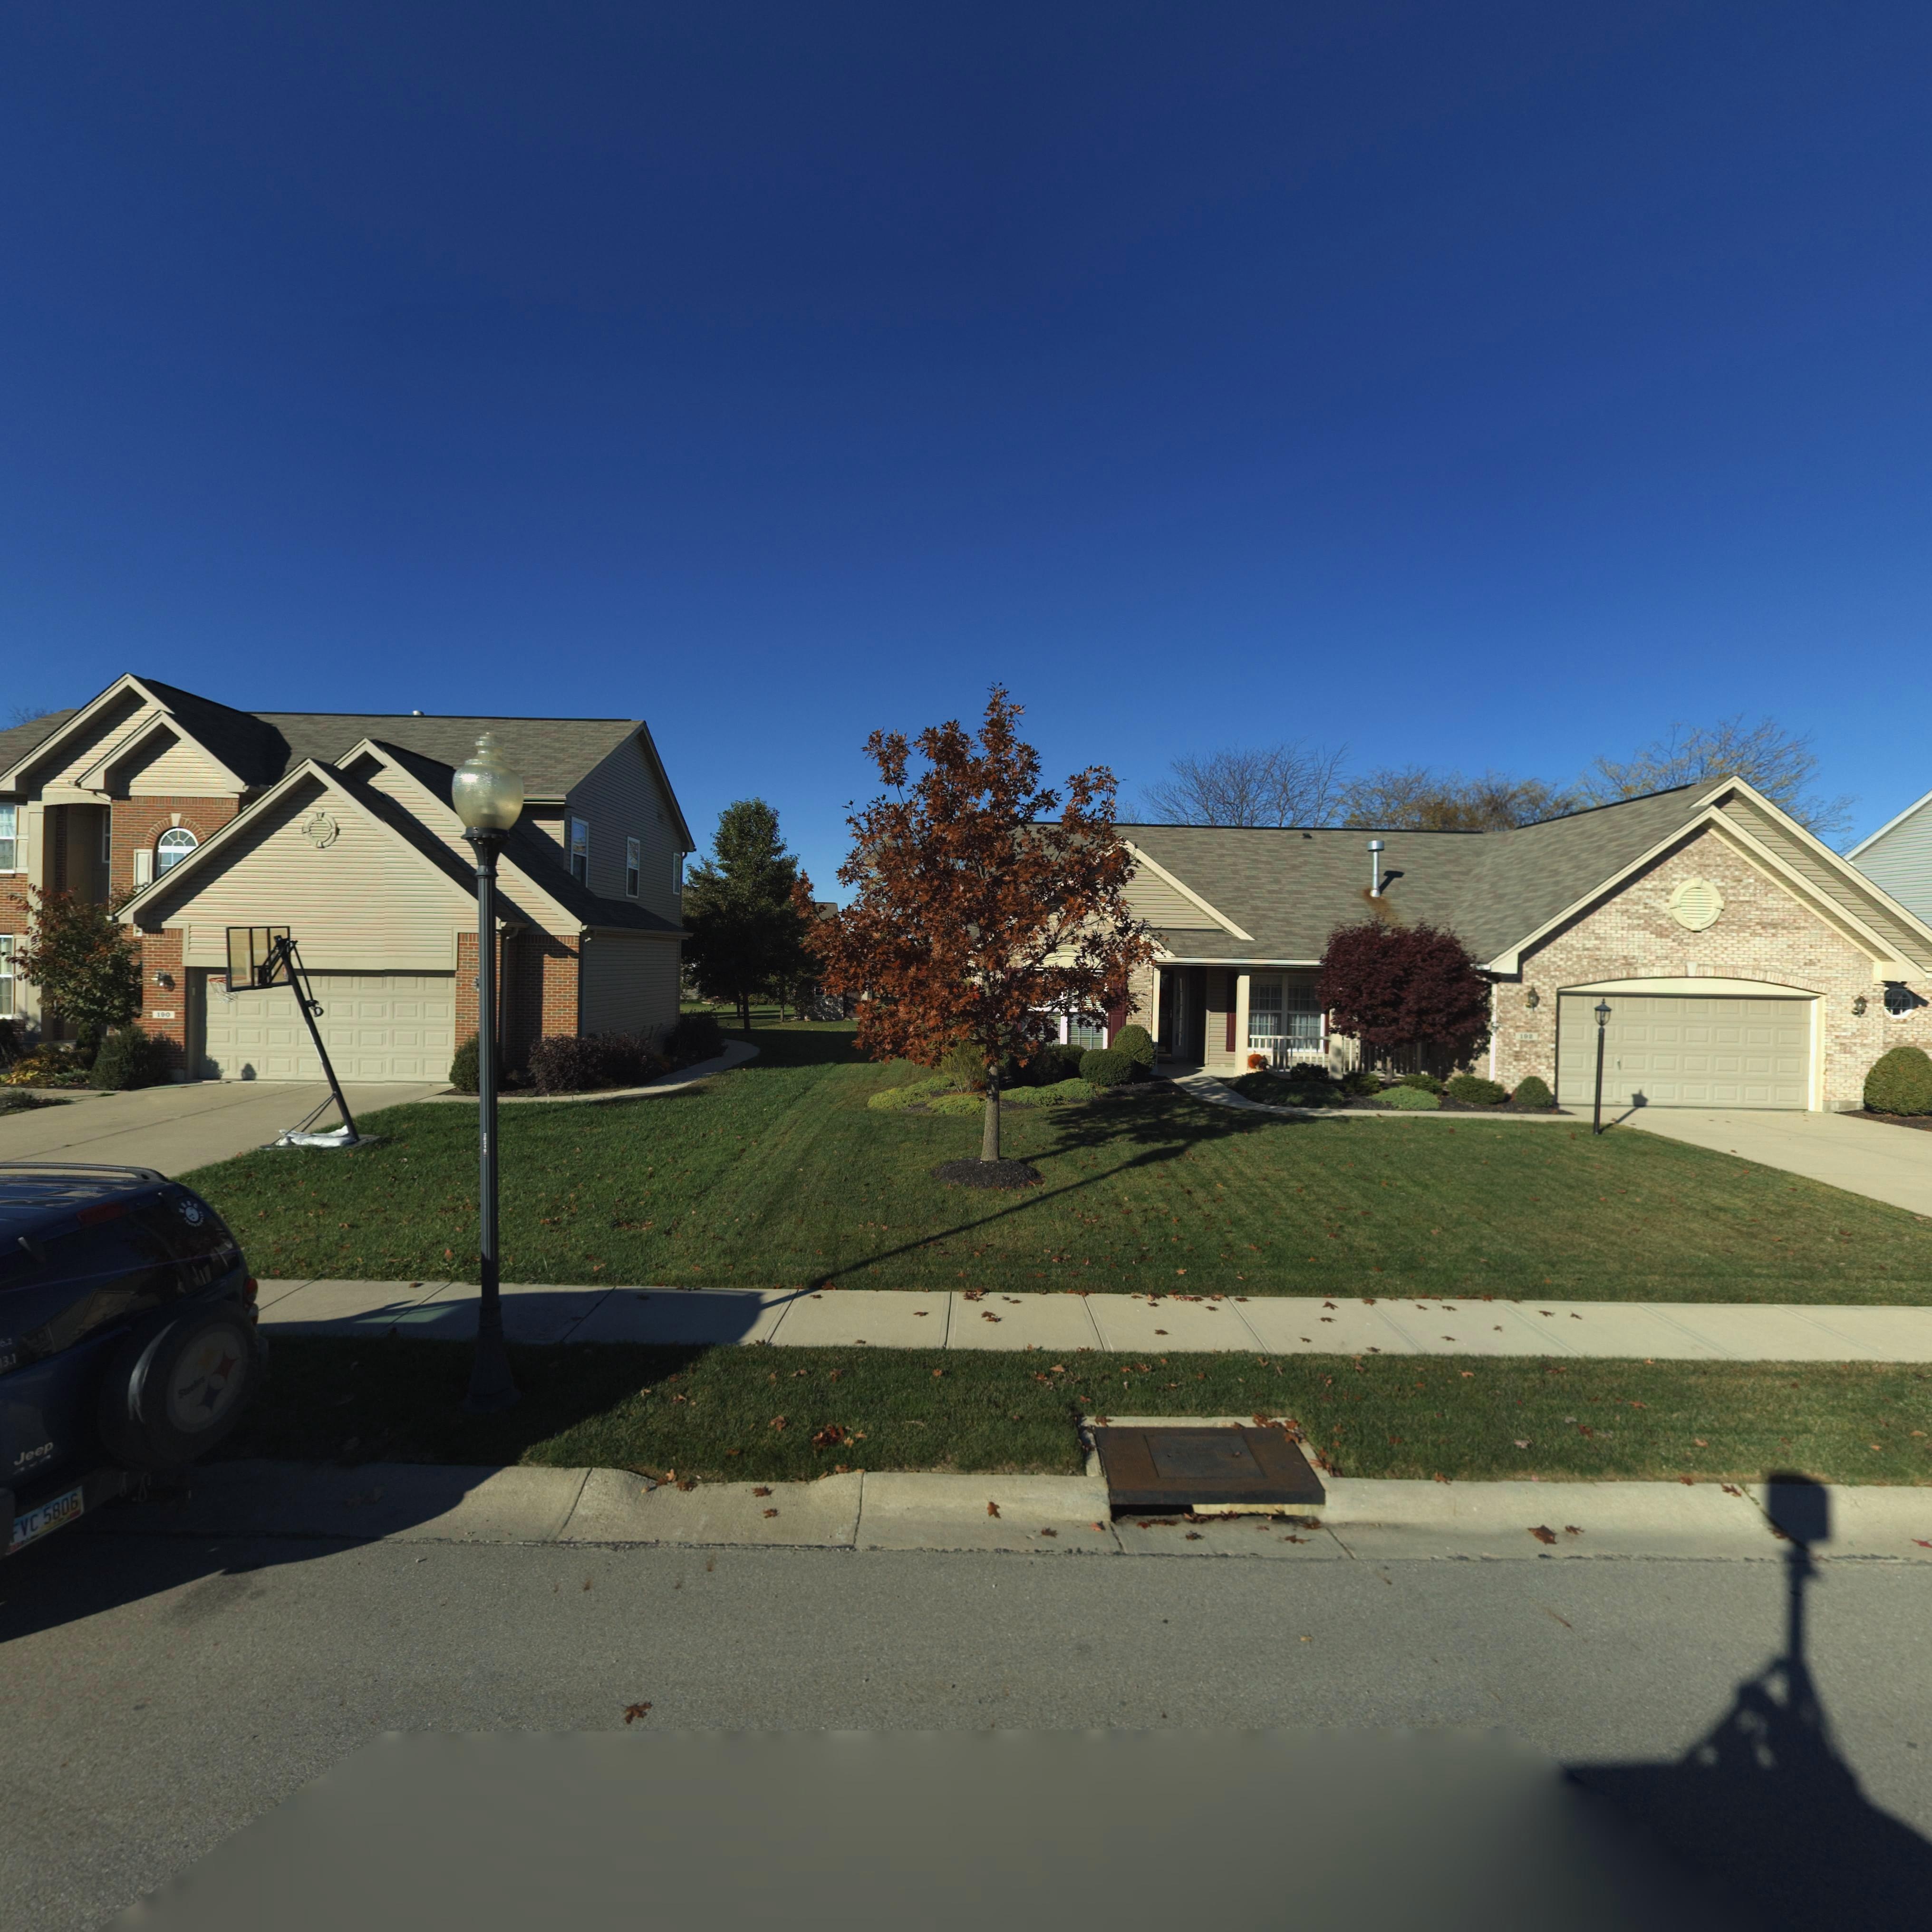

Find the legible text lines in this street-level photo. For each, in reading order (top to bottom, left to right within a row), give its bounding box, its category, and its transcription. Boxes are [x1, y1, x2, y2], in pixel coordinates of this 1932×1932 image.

[156, 1011, 172, 1018] StreetNumber: 1*0
[1519, 1033, 1534, 1040] StreetNumber: 1**
[11, 1439, 53, 1469] None: Jeep
[9, 1489, 80, 1548] None: FVC 5806